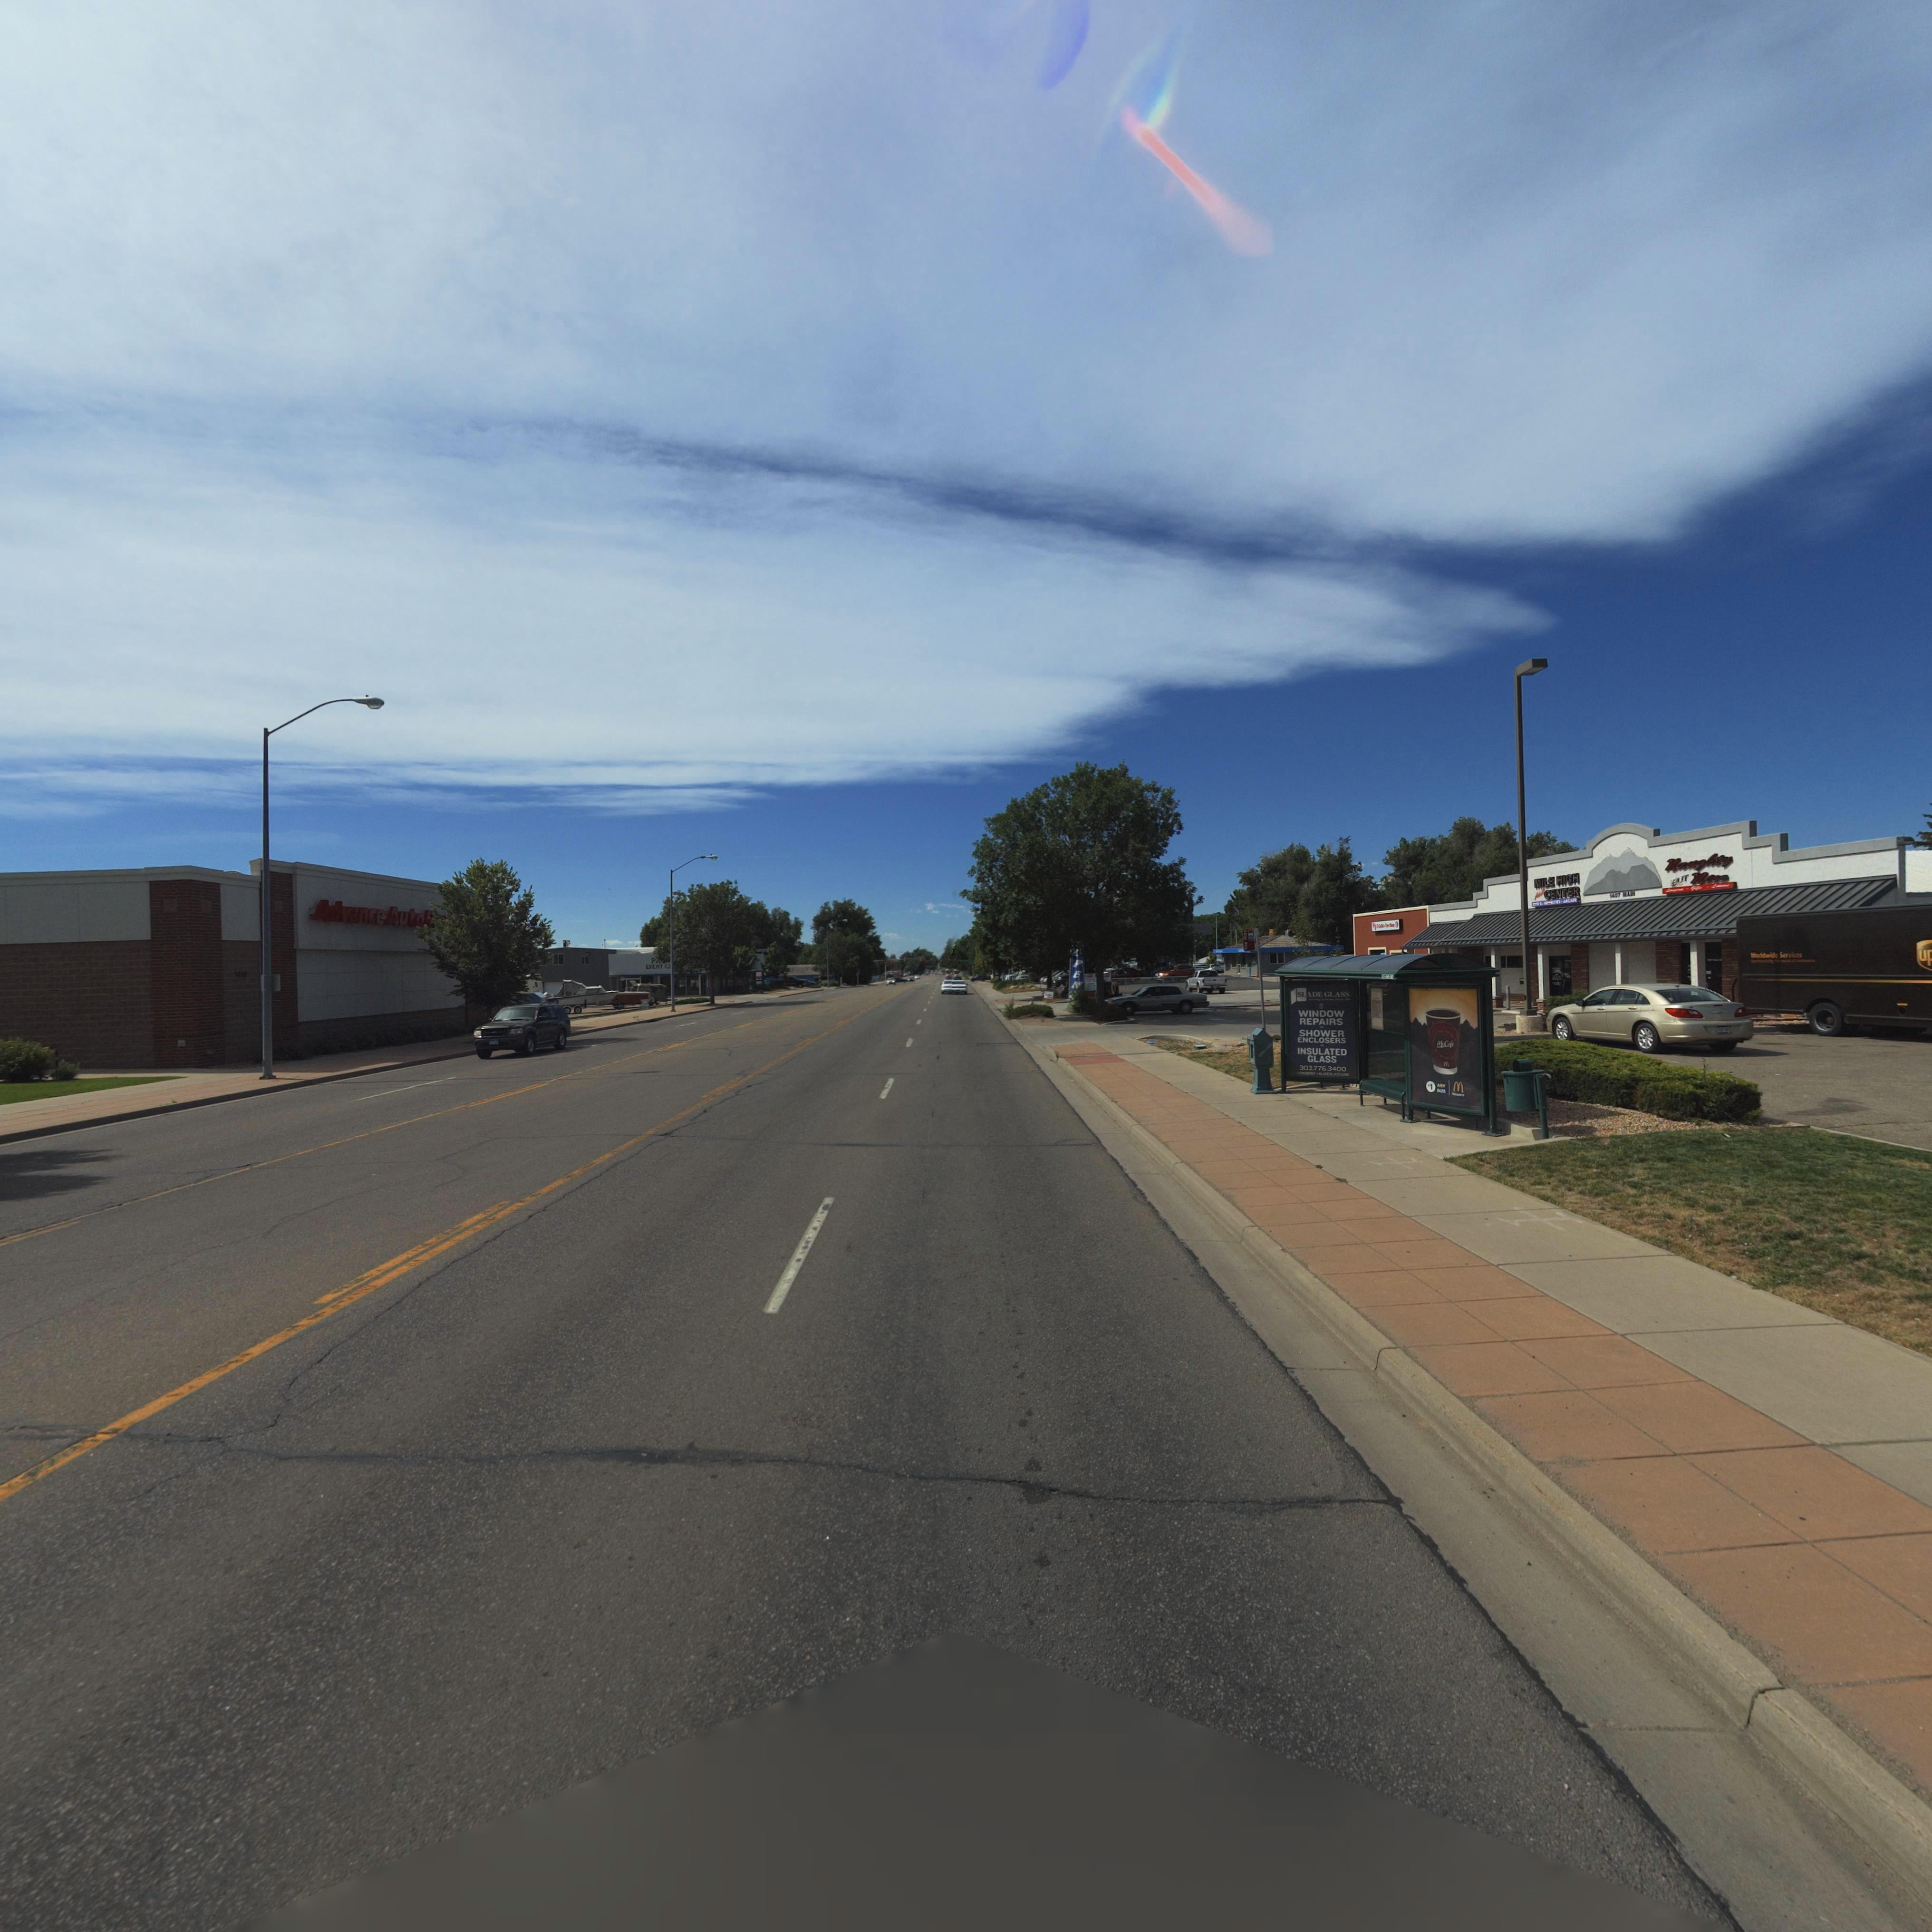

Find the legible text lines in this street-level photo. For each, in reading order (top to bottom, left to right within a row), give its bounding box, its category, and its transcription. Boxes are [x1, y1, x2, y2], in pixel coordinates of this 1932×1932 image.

[1663, 851, 1737, 871] BusinessName: Nan****
[1534, 872, 1579, 889] BusinessName: MILE HIGH
[1689, 871, 1731, 885] BusinessName: N**
[1543, 886, 1580, 900] BusinessName: CENTER
[1609, 891, 1620, 898] StreetNumber: 1407
[1623, 889, 1635, 897] StreetName: MAIN
[309, 898, 425, 928] BusinessName: Advance Auto
[1372, 922, 1395, 930] BusinessName: *** G**** T** ***
[651, 956, 656, 964] BusinessName: P
[645, 964, 668, 969] BusinessName: EVENT C
[233, 971, 248, 978] StreetNumber: 1**0